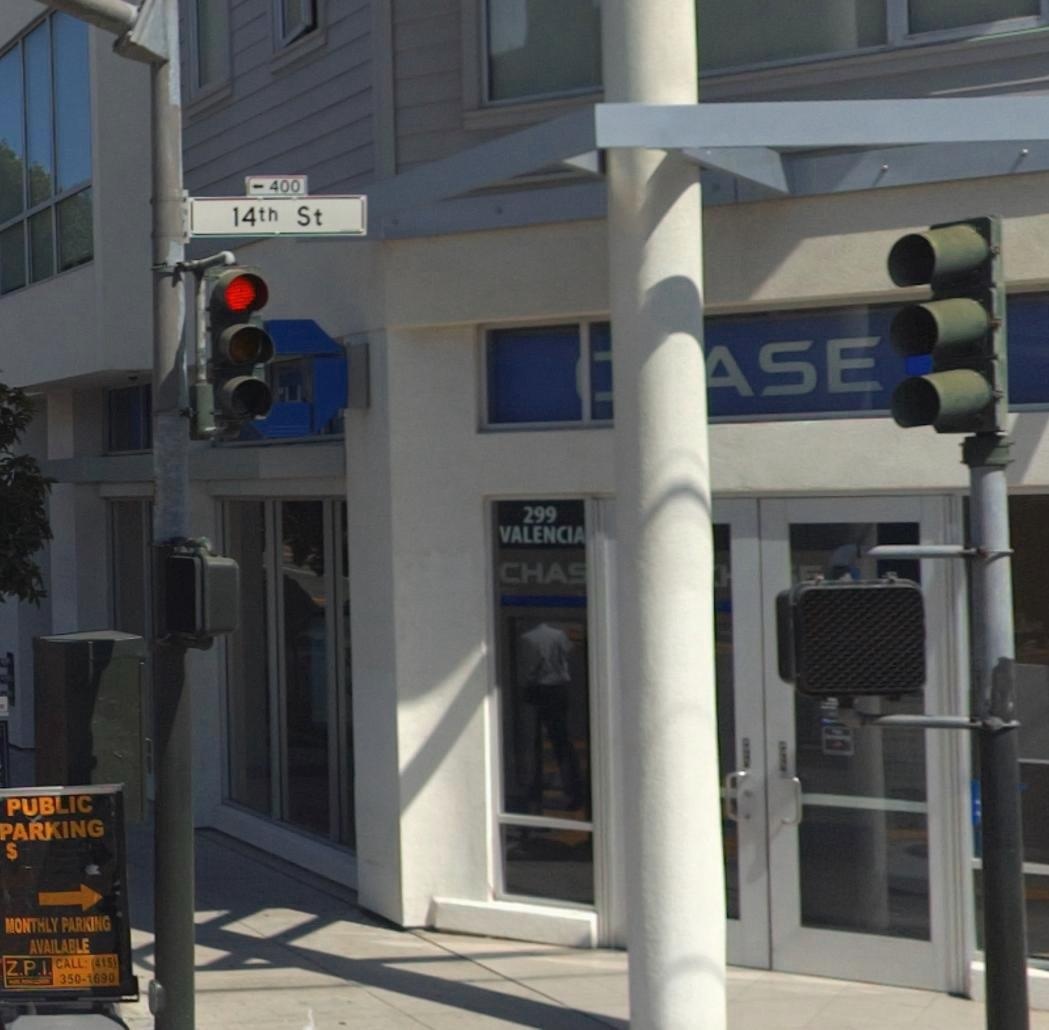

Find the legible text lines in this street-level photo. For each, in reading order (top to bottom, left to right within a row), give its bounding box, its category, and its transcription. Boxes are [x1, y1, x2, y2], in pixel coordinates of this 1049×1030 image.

[250, 178, 301, 194] StreetNumberRange: <-400
[230, 204, 325, 228] StreetName: 14th St
[704, 333, 887, 400] BusinessName: ASE
[521, 503, 558, 526] StreetNumber: 299
[497, 524, 588, 546] StreetName: VALENCIA
[499, 560, 588, 586] BusinessName: CHAS
[5, 794, 96, 818] None: PUBLIC
[0, 817, 106, 843] None: PARKING
[5, 915, 112, 934] None: MONTHLY PARKING
[28, 937, 91, 955] None: AVAILABLE
[5, 959, 53, 977] None: Z.P.I.
[54, 957, 118, 970] None: CALL (415)
[59, 972, 115, 986] None: 350-1690